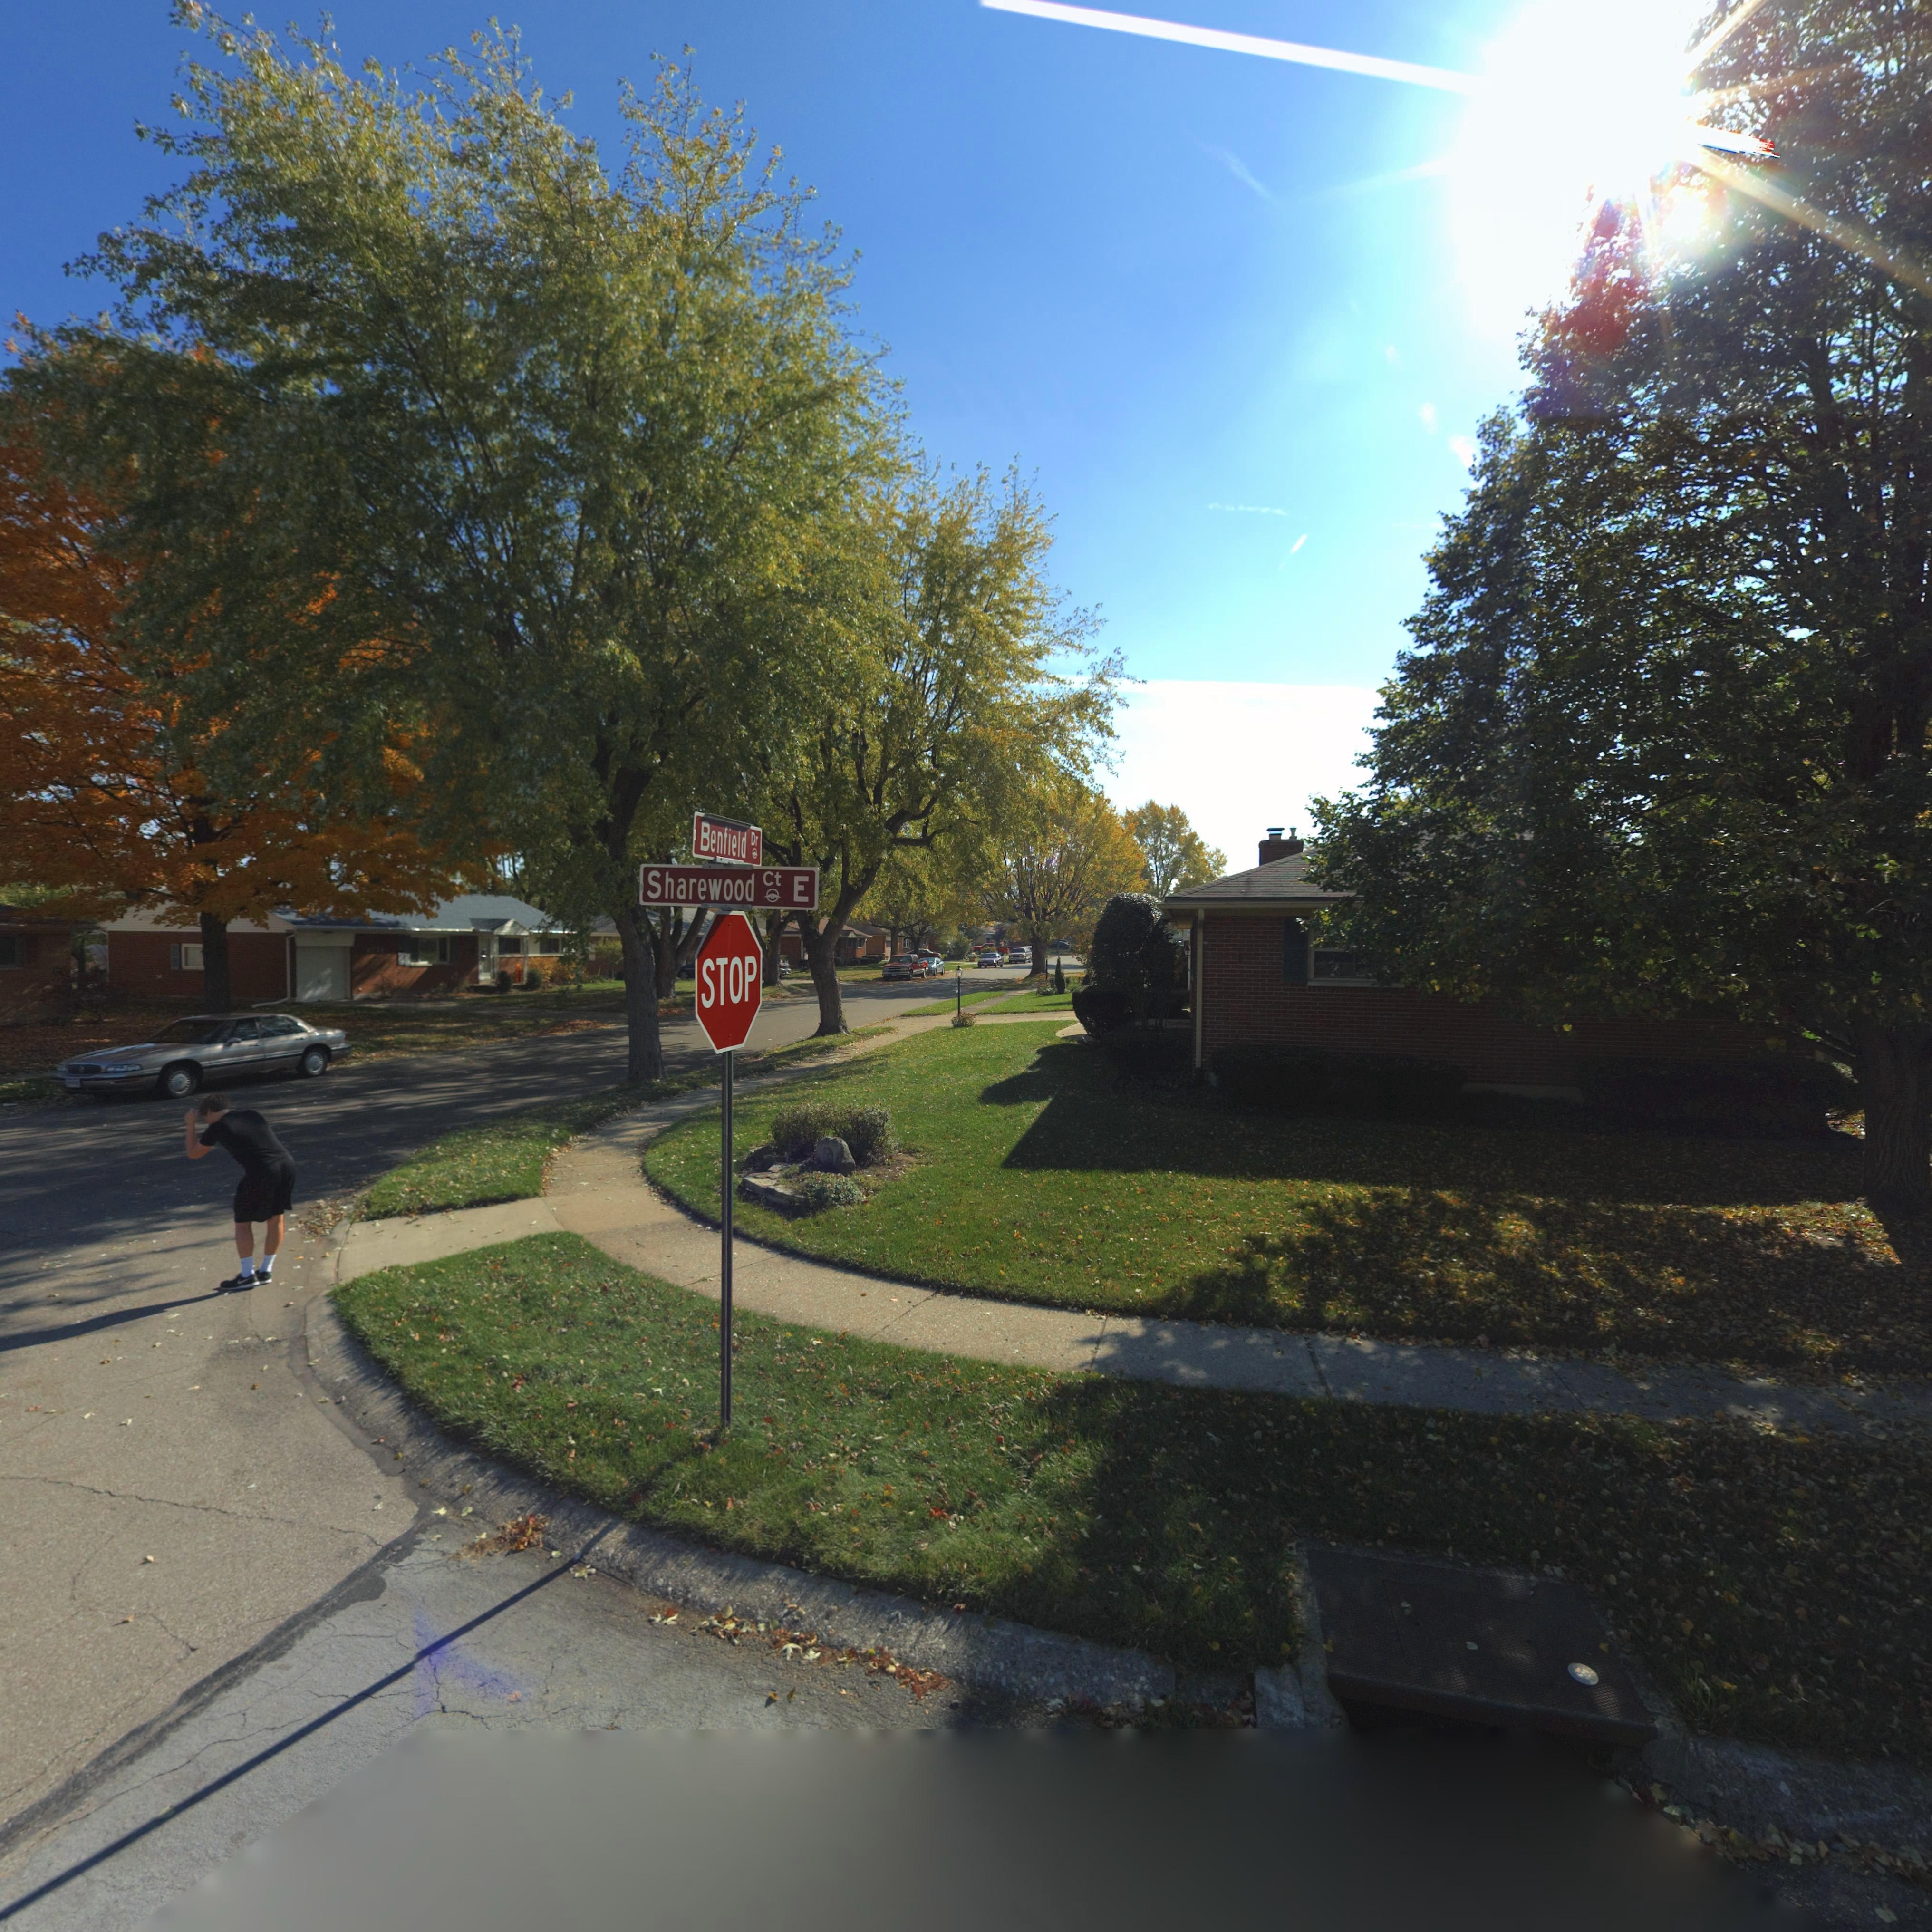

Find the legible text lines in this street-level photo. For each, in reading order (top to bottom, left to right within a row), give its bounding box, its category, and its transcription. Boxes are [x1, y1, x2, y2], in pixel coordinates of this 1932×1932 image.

[699, 819, 760, 859] StreetName: Benfield Dr
[645, 869, 811, 905] StreetName: Sharewood Ct E